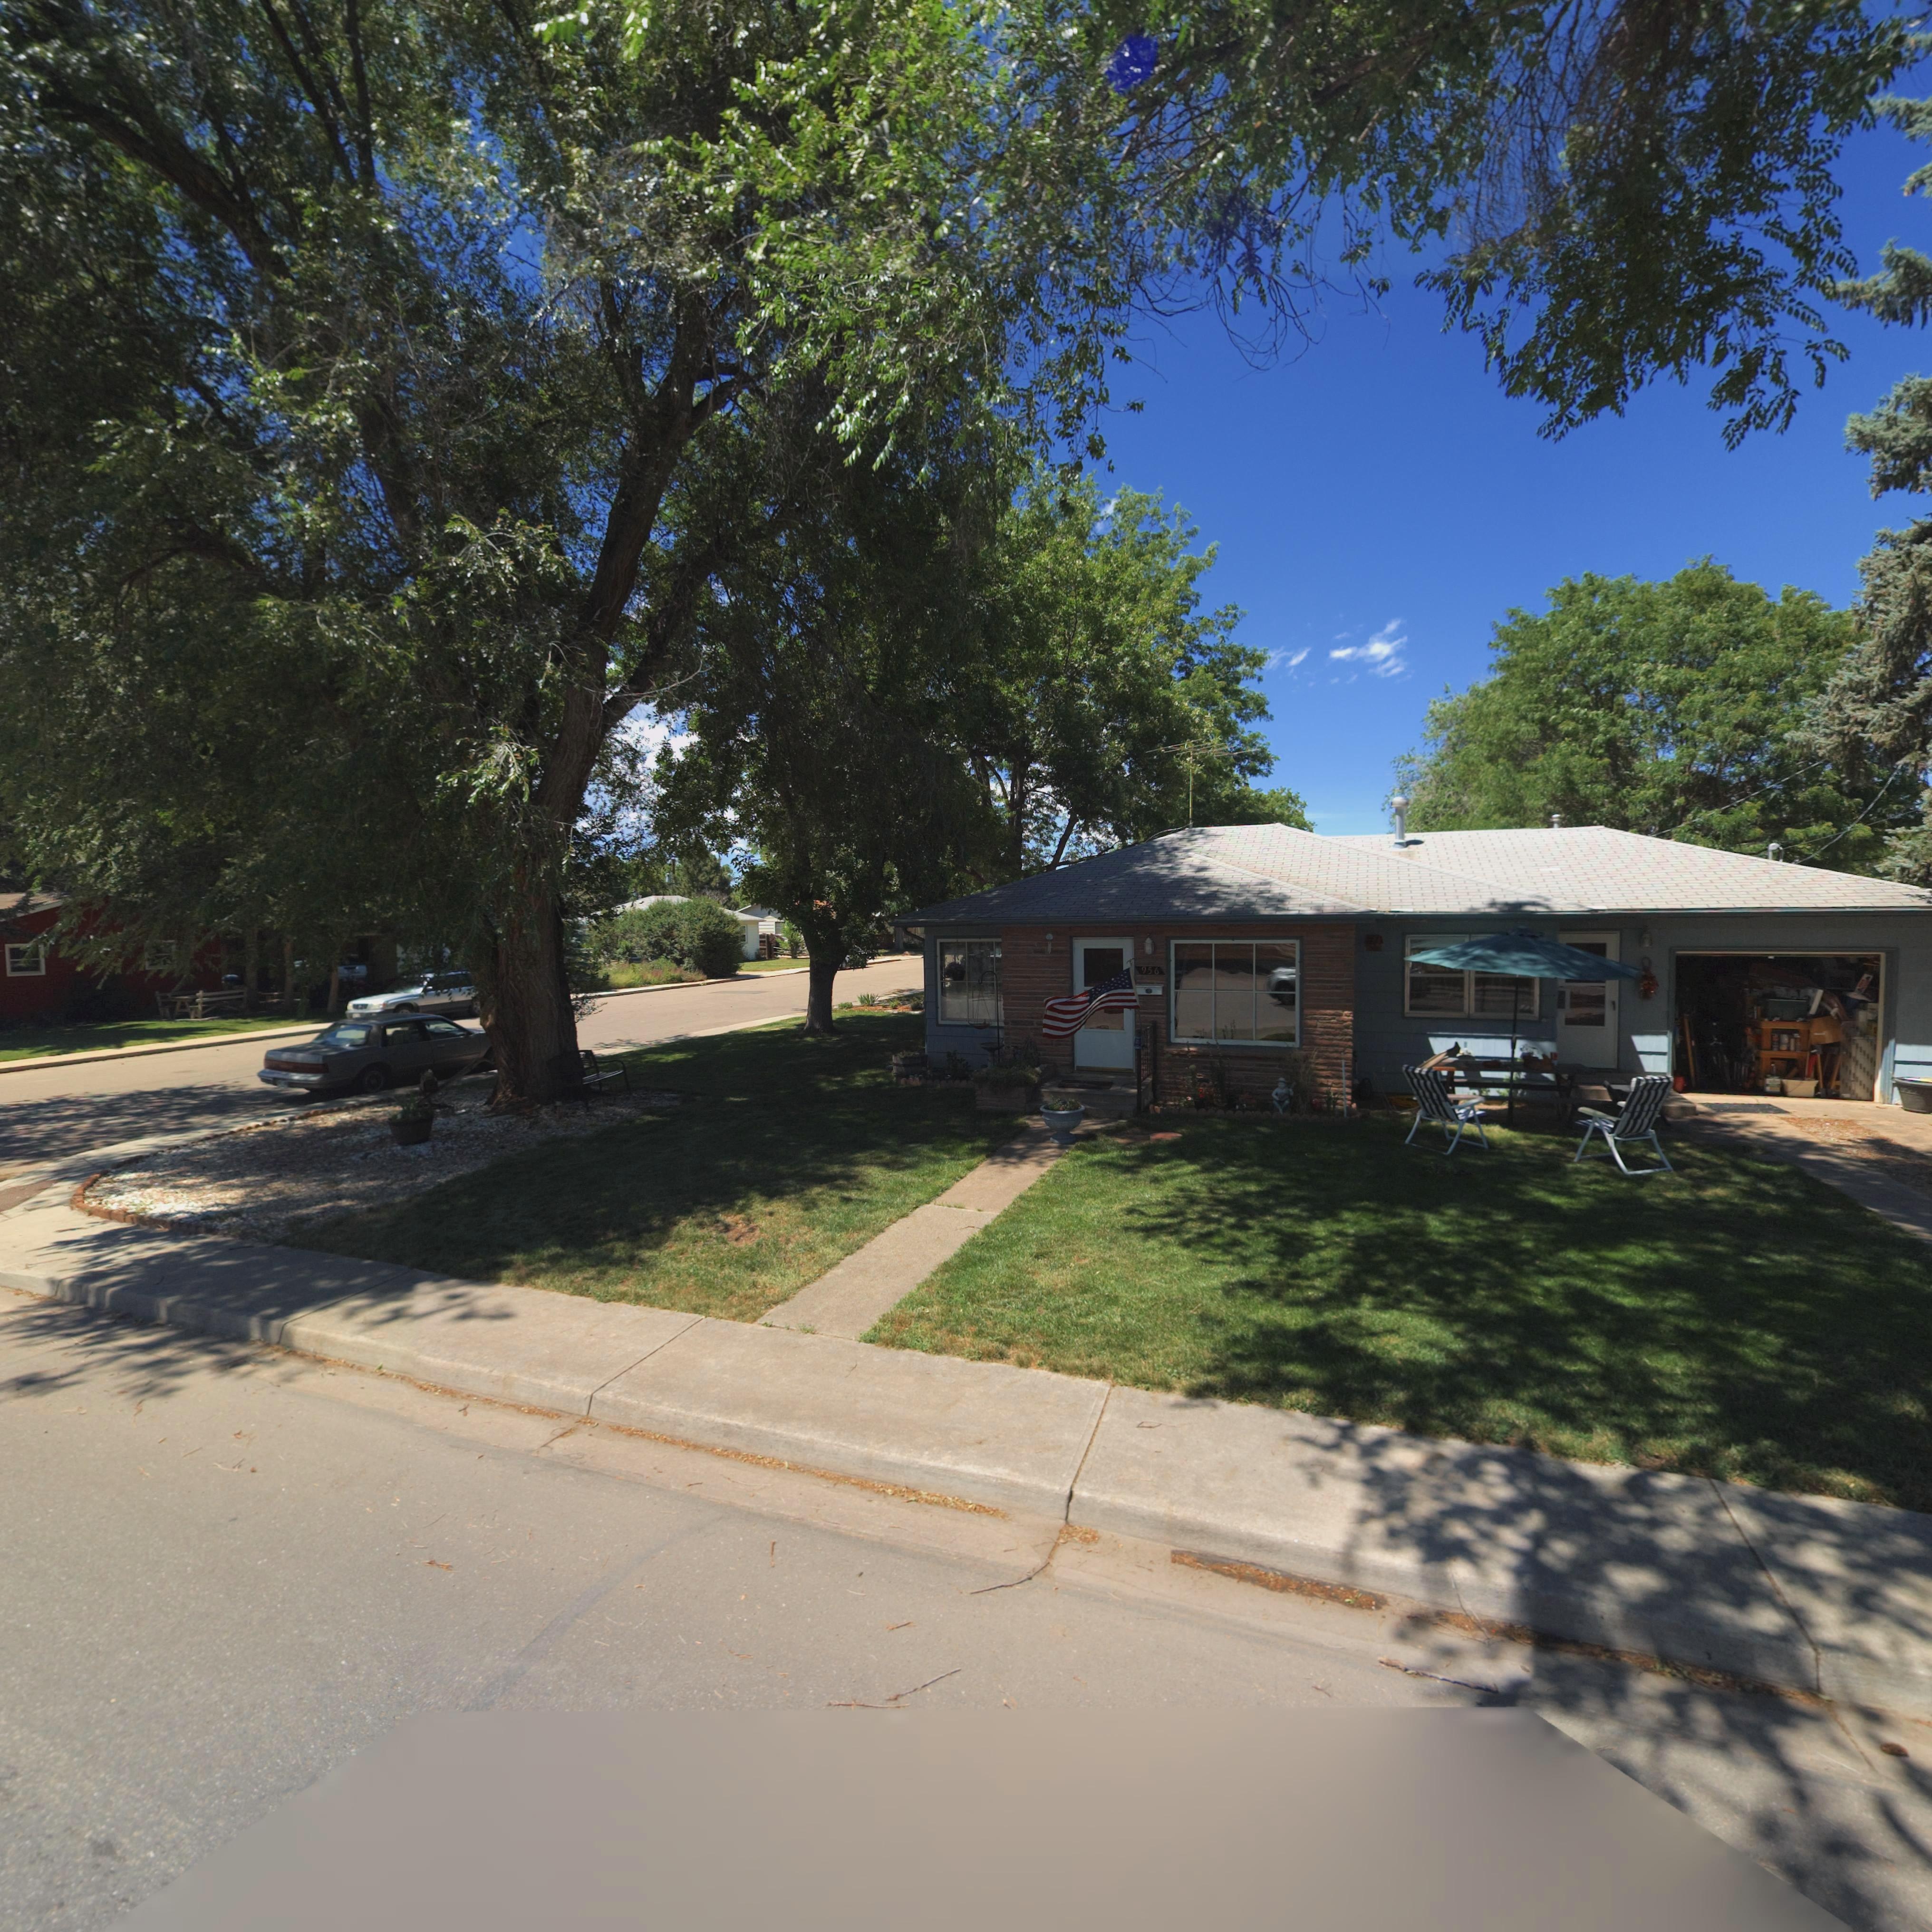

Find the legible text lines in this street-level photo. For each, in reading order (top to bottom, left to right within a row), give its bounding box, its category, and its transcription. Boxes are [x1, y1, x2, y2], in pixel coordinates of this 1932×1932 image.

[1141, 966, 1159, 975] StreetNumber: 956